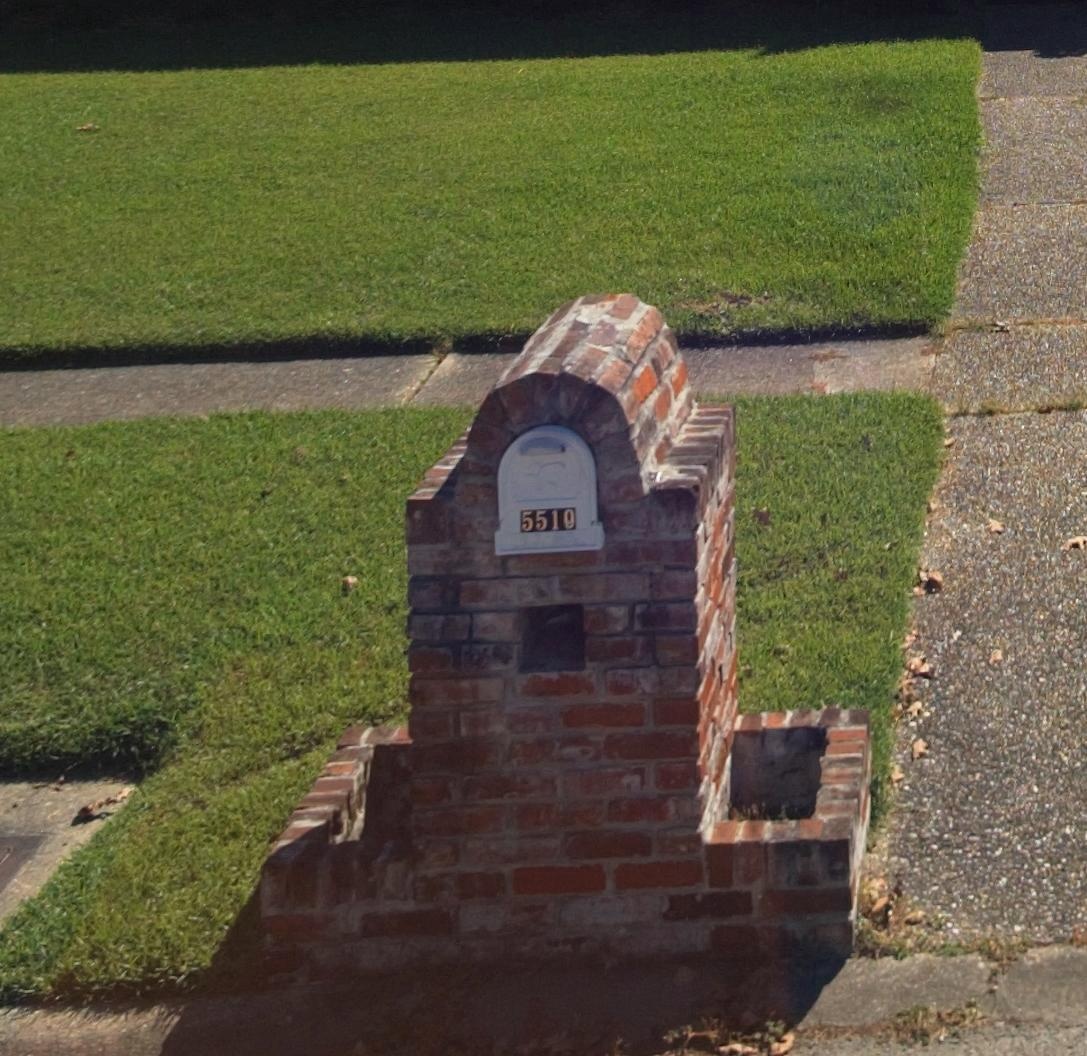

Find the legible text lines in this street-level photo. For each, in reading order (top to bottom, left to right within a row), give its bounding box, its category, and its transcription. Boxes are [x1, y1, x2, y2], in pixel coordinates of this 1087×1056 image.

[520, 507, 577, 534] StreetNumber: 551*